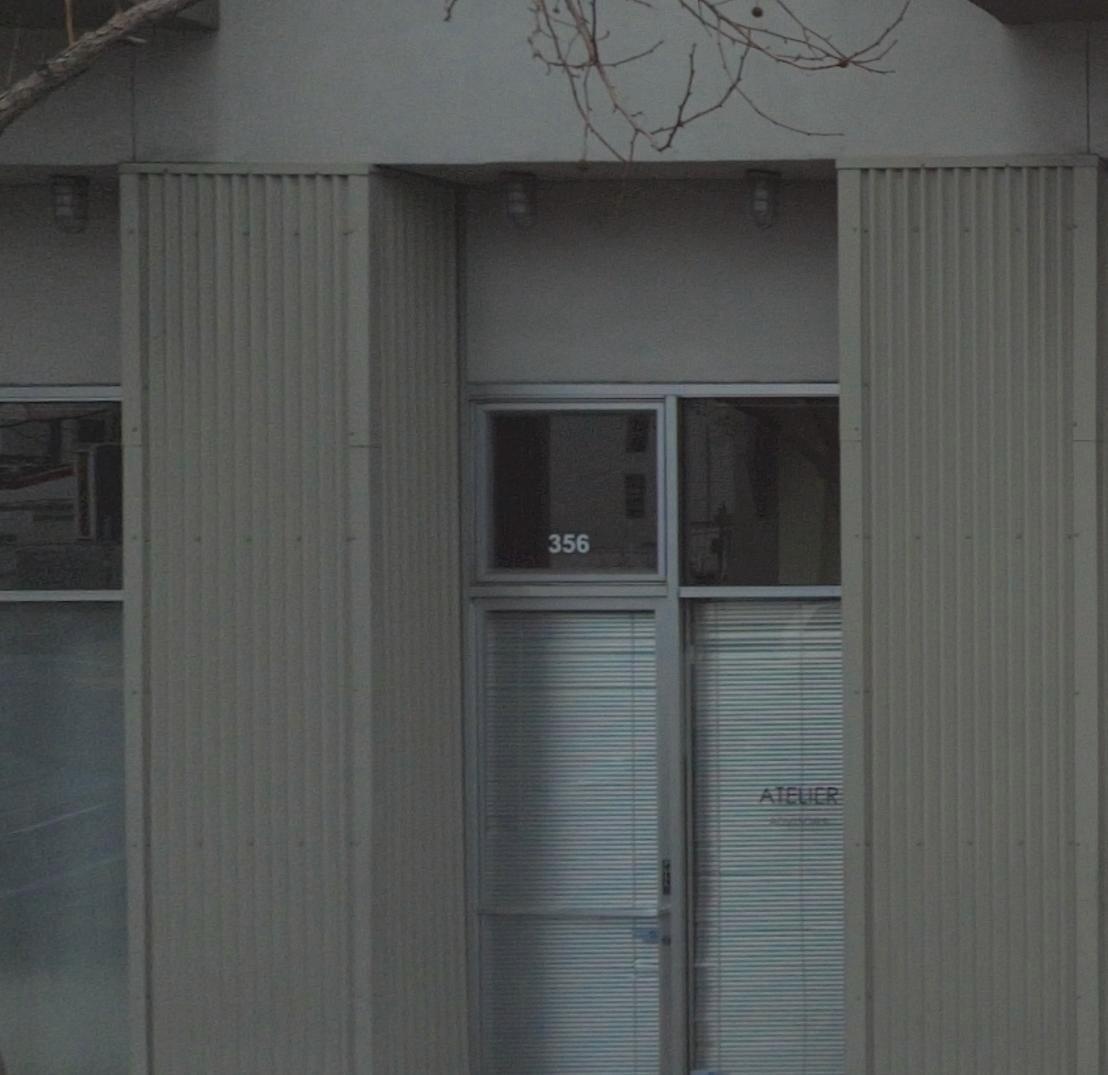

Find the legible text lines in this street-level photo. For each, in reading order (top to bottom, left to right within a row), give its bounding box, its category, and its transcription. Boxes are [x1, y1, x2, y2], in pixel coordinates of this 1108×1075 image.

[546, 531, 592, 556] StreetNumber: 356
[753, 783, 841, 809] BusinessName: ATELIER